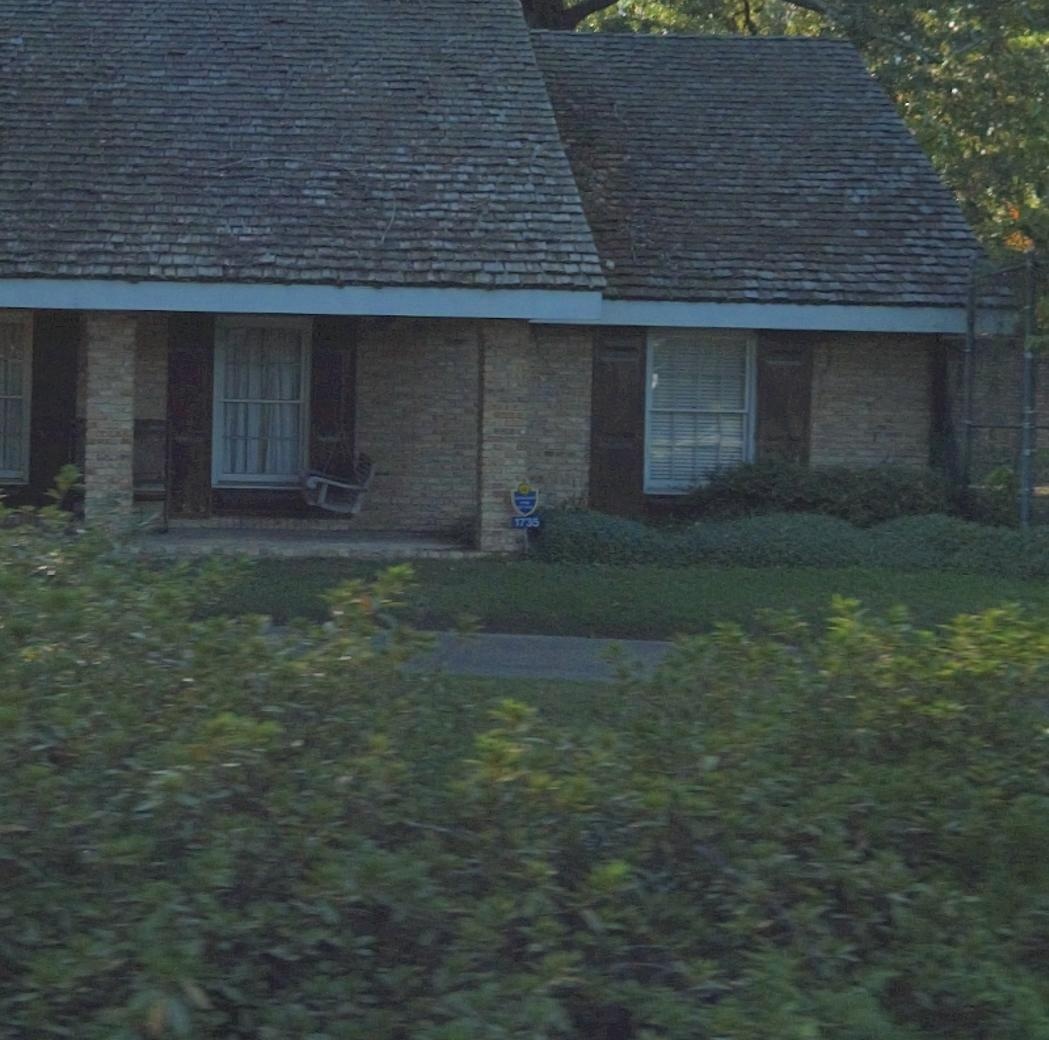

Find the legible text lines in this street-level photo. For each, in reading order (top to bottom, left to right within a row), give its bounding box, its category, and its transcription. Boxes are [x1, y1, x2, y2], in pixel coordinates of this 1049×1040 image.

[514, 517, 540, 528] StreetNumber: 1735